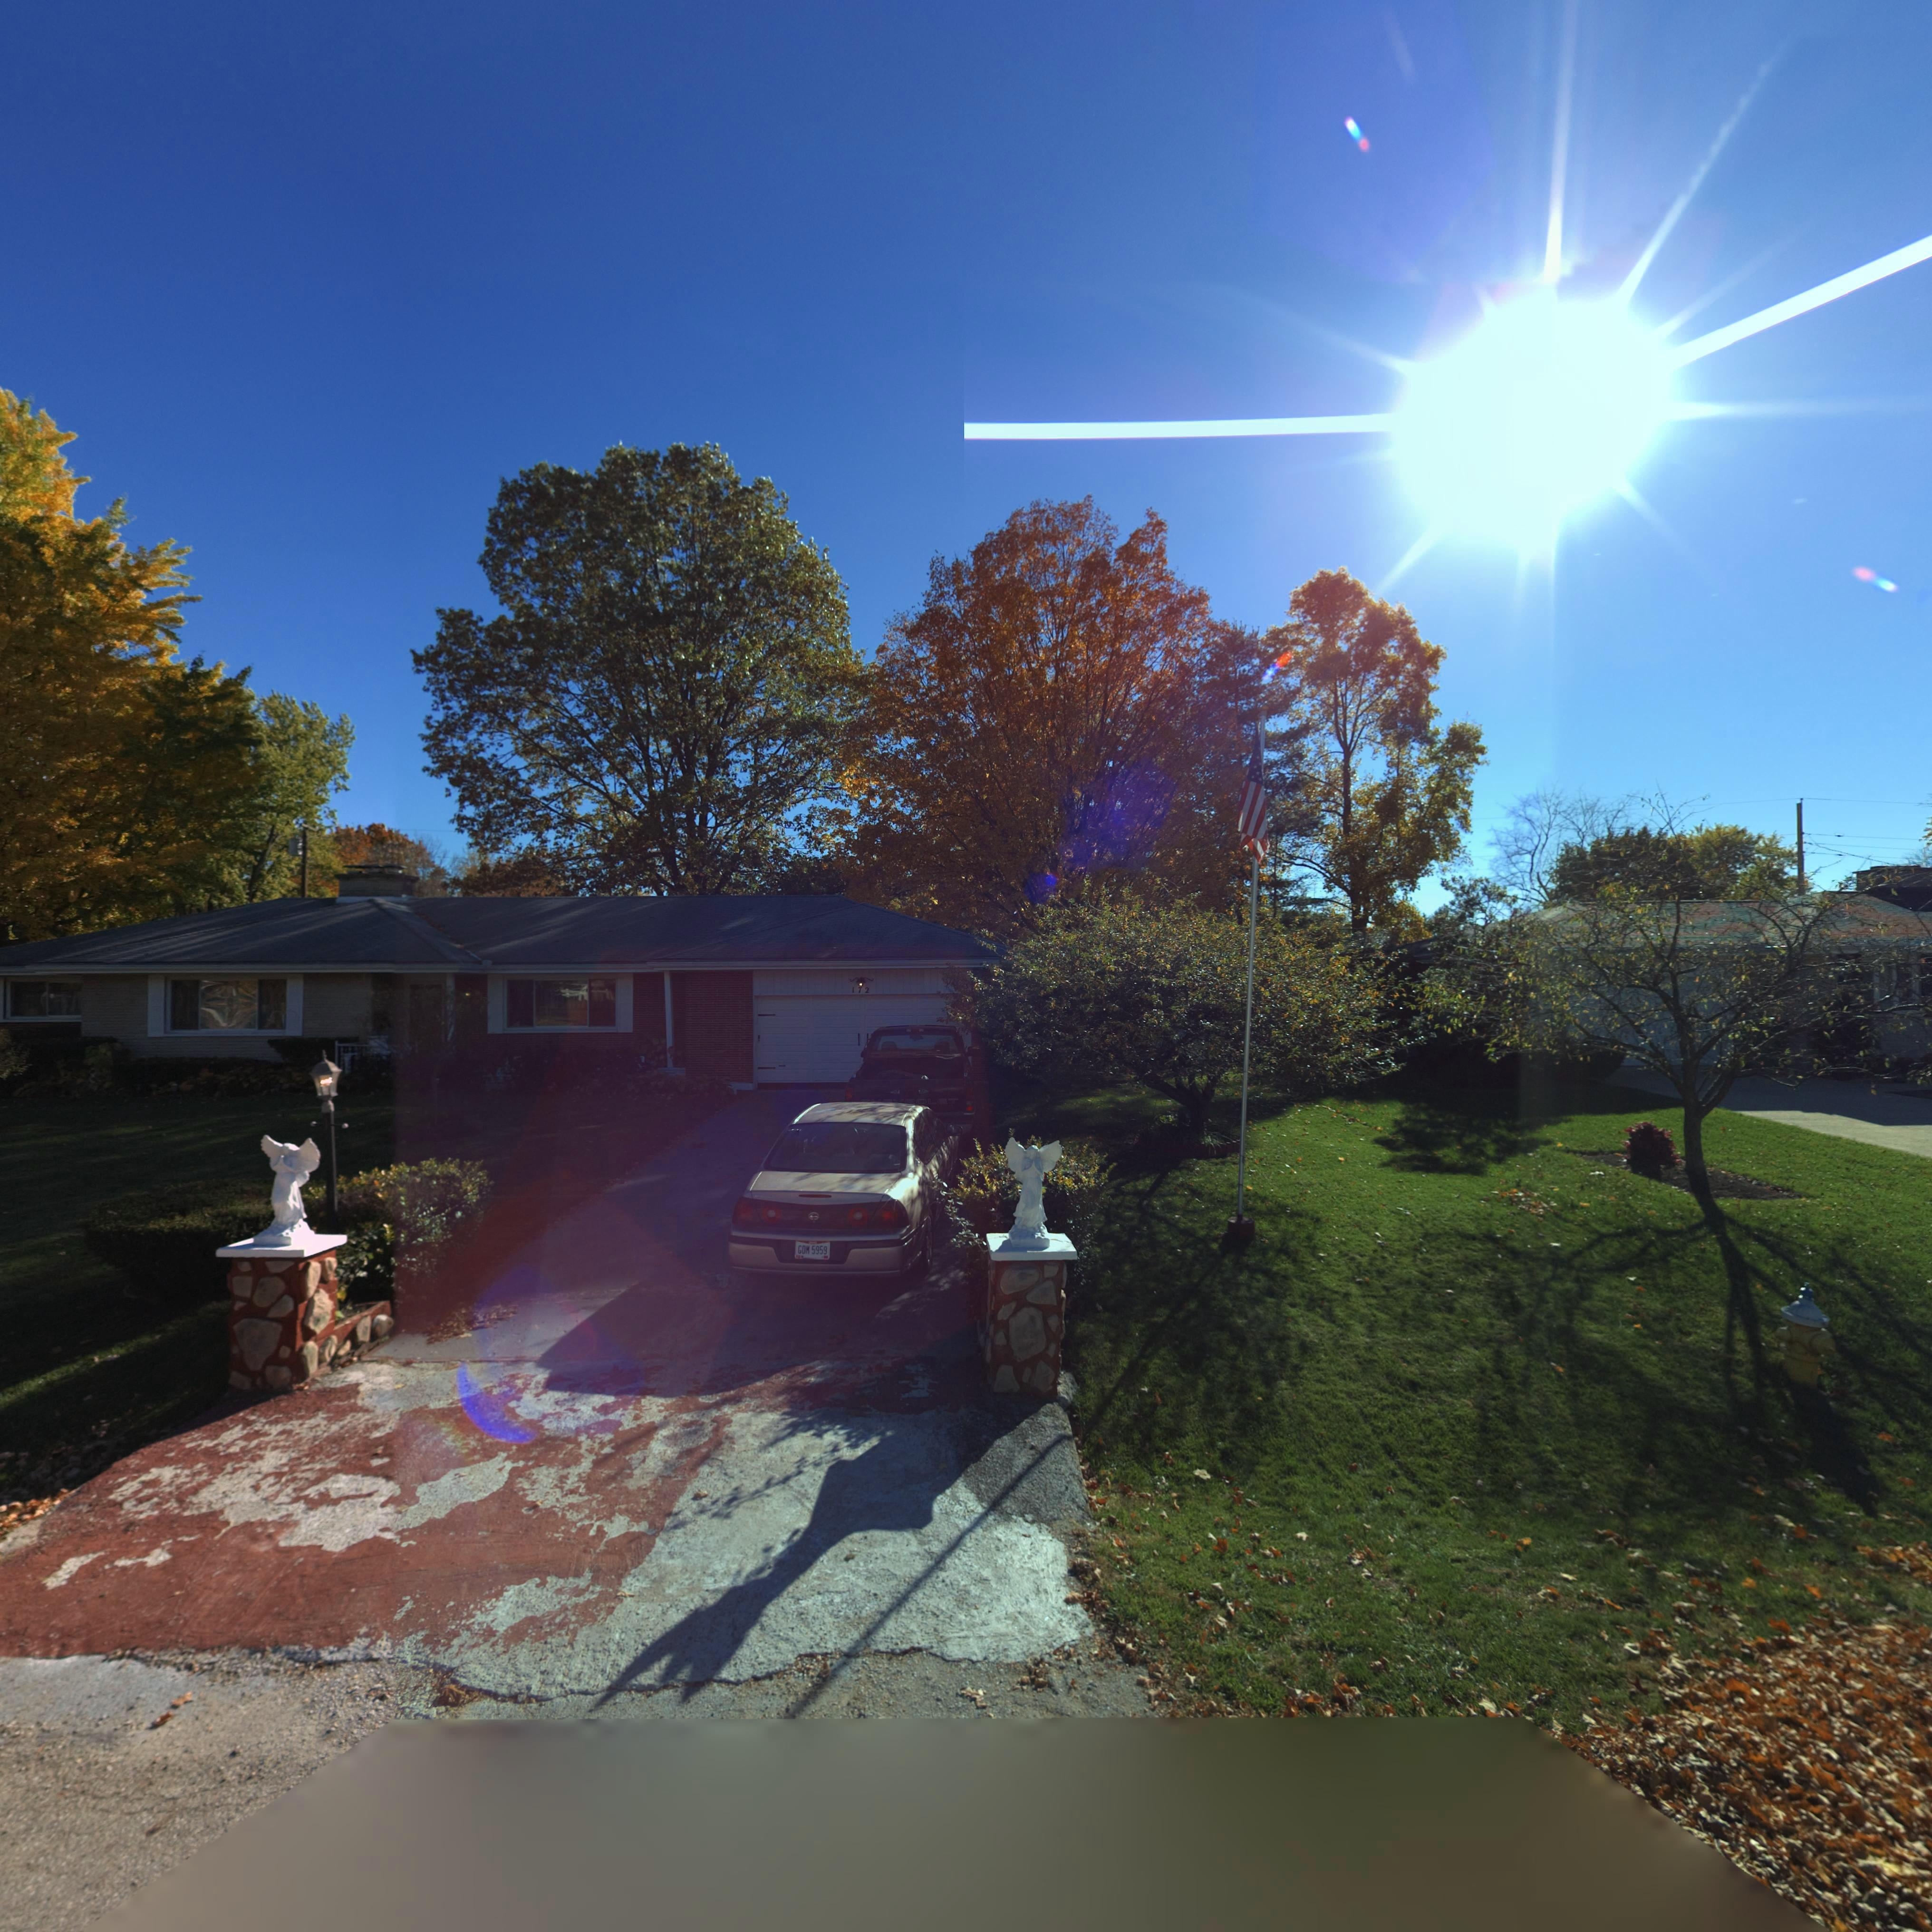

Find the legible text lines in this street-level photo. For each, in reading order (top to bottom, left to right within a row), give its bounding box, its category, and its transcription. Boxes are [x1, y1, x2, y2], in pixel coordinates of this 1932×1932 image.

[851, 985, 870, 994] StreetNumber: 172